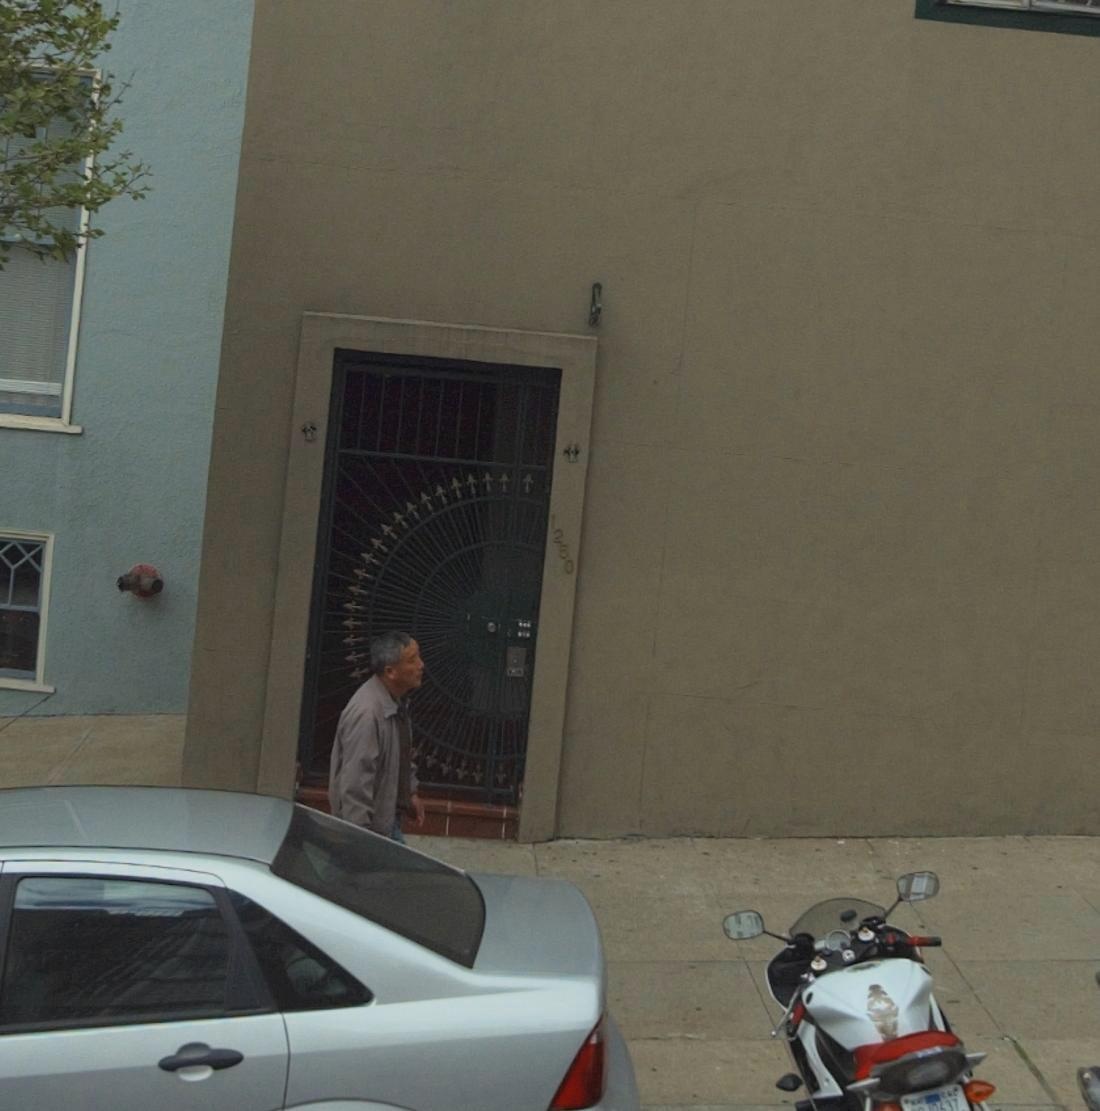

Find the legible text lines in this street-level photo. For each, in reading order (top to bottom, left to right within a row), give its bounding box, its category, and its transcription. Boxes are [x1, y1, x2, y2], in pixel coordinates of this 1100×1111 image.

[548, 511, 577, 576] StreetNumber: 1250